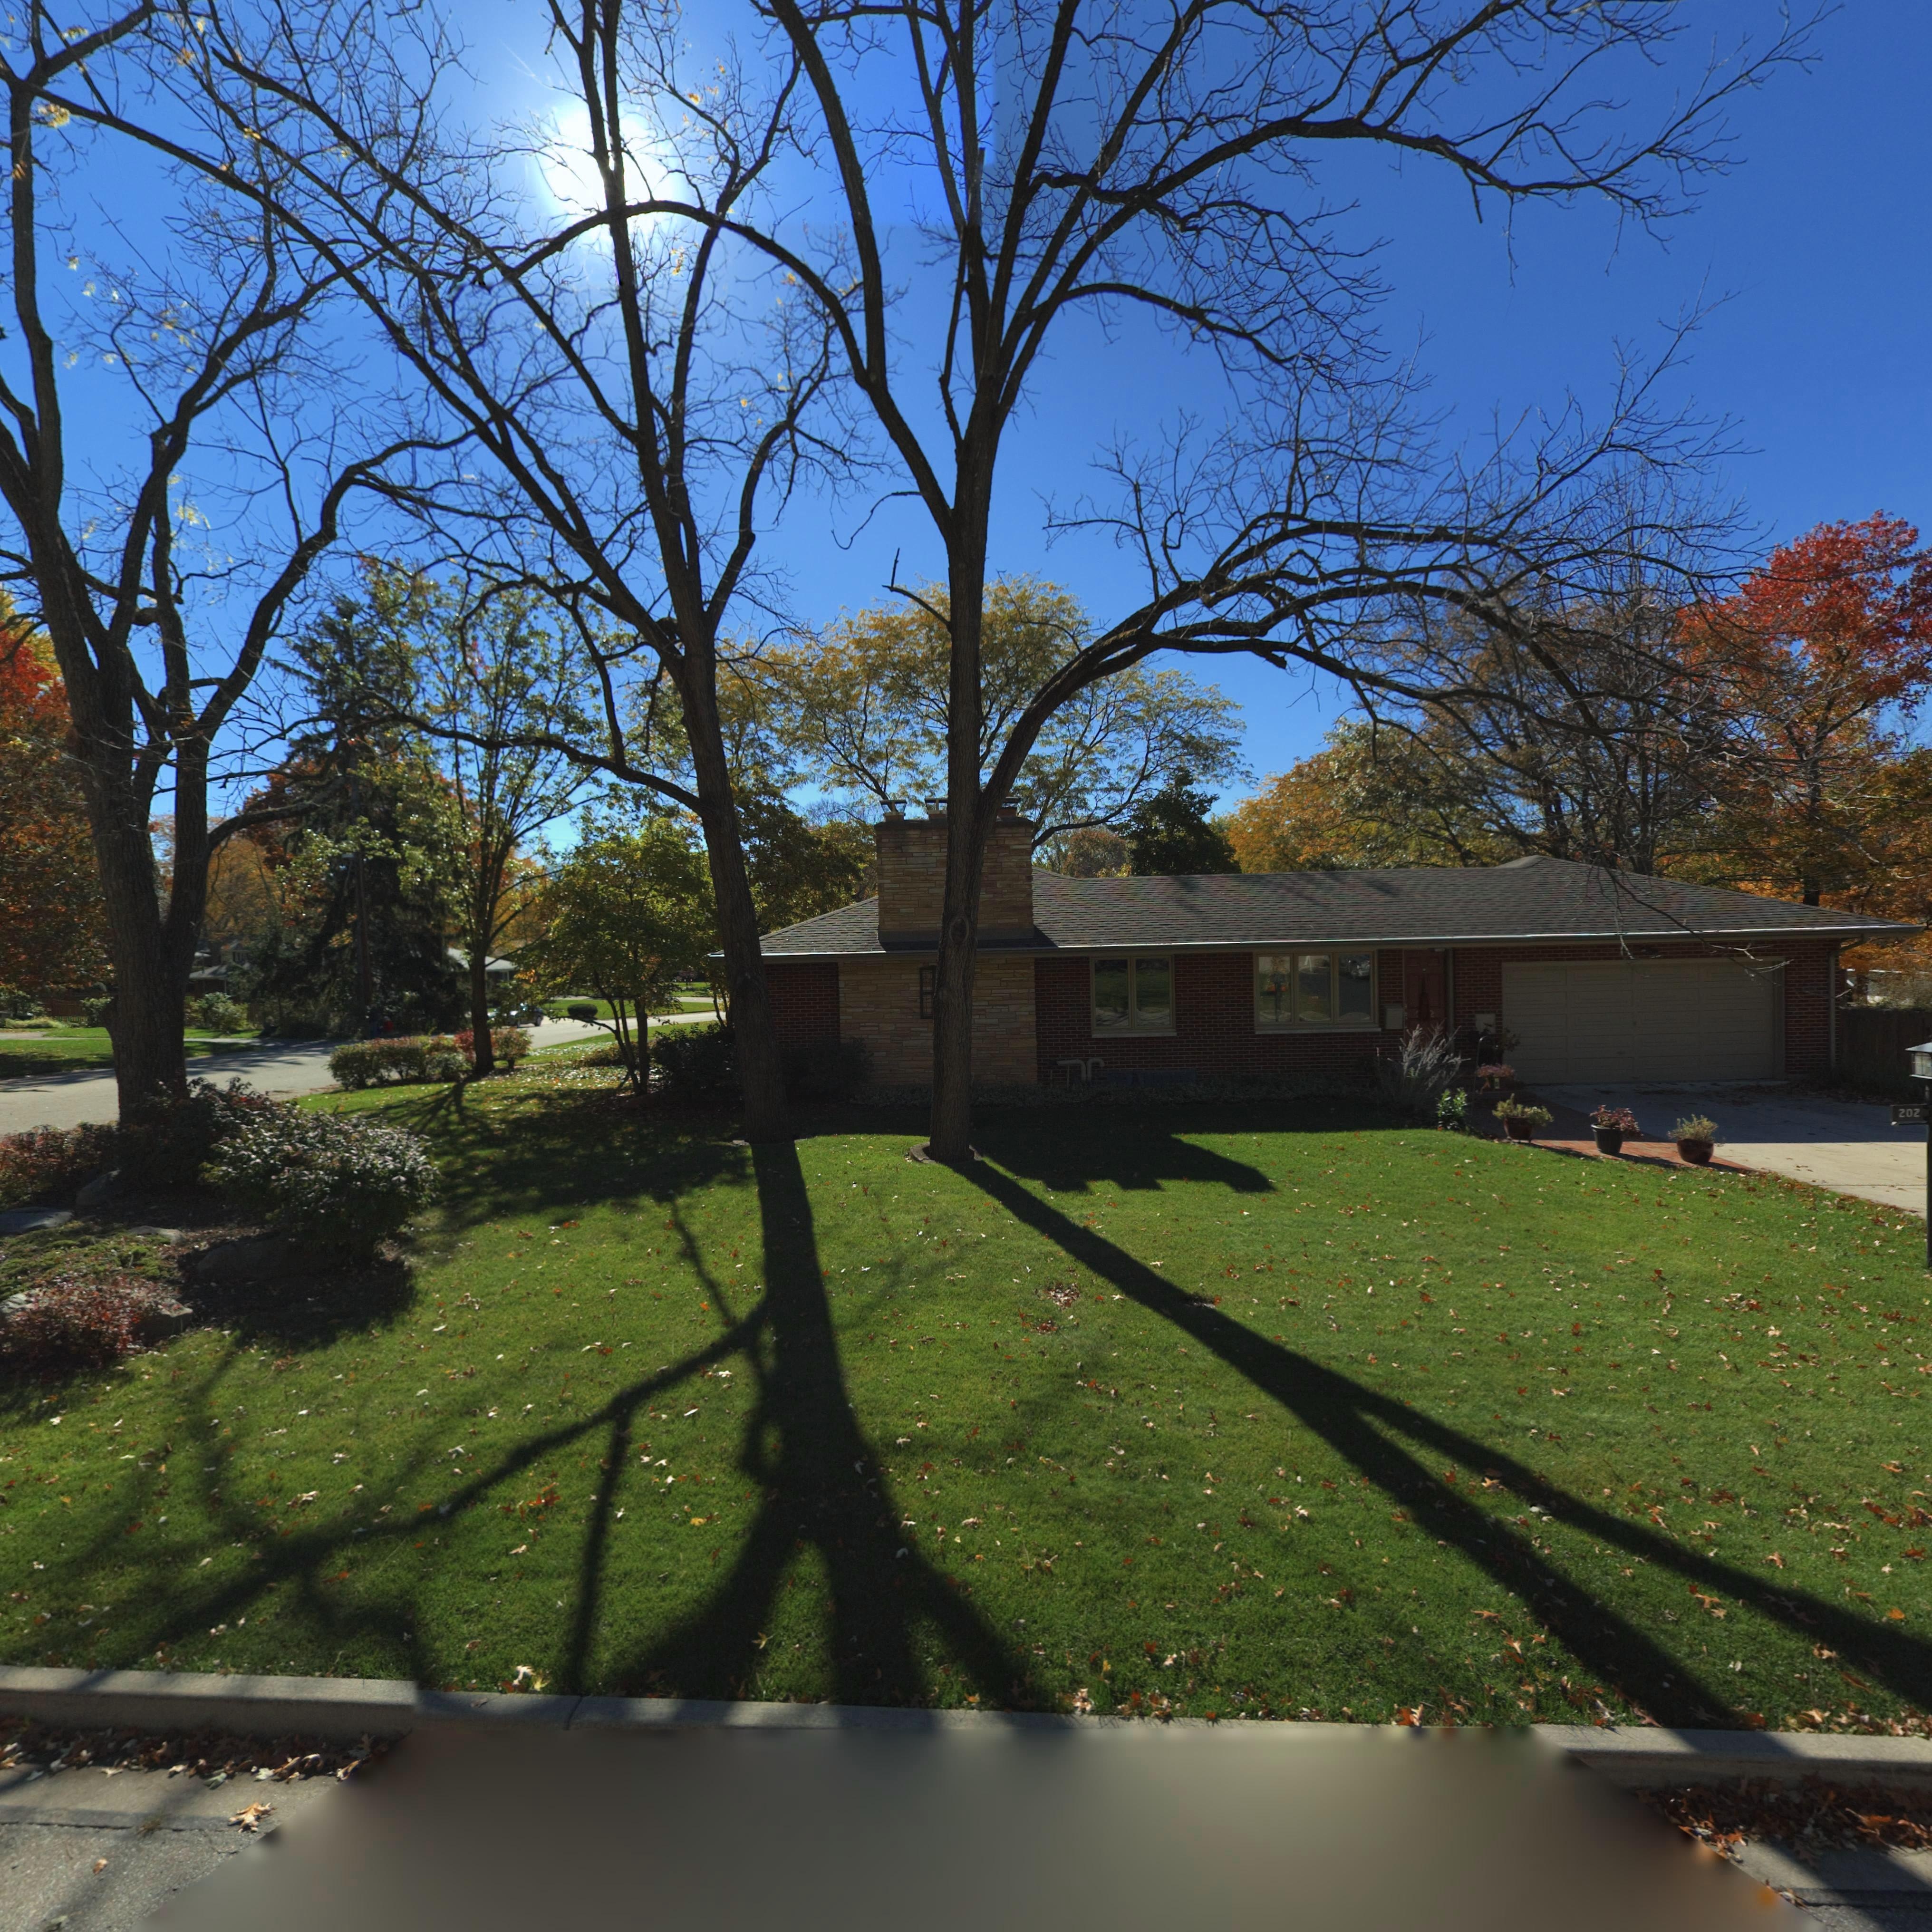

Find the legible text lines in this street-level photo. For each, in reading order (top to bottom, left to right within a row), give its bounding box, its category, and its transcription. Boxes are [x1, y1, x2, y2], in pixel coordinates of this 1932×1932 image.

[1429, 1009, 1434, 1018] StreetNumber: 2
[1898, 1108, 1921, 1118] StreetNumber: 202